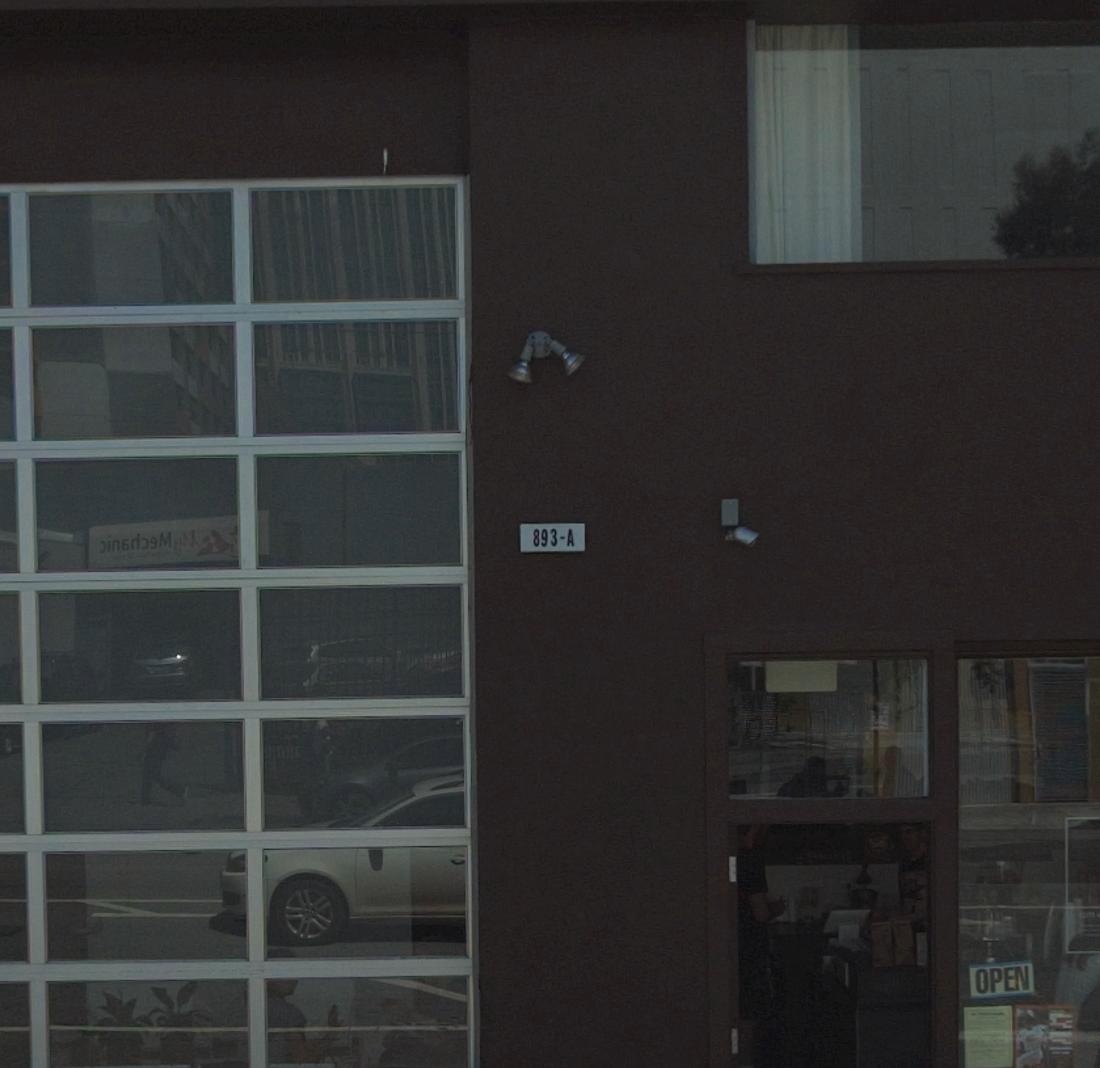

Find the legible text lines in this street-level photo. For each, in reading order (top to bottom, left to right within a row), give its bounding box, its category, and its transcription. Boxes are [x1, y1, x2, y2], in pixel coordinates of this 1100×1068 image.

[532, 528, 576, 547] StreetNumber: 893-A
[974, 965, 1030, 994] None: OPEN